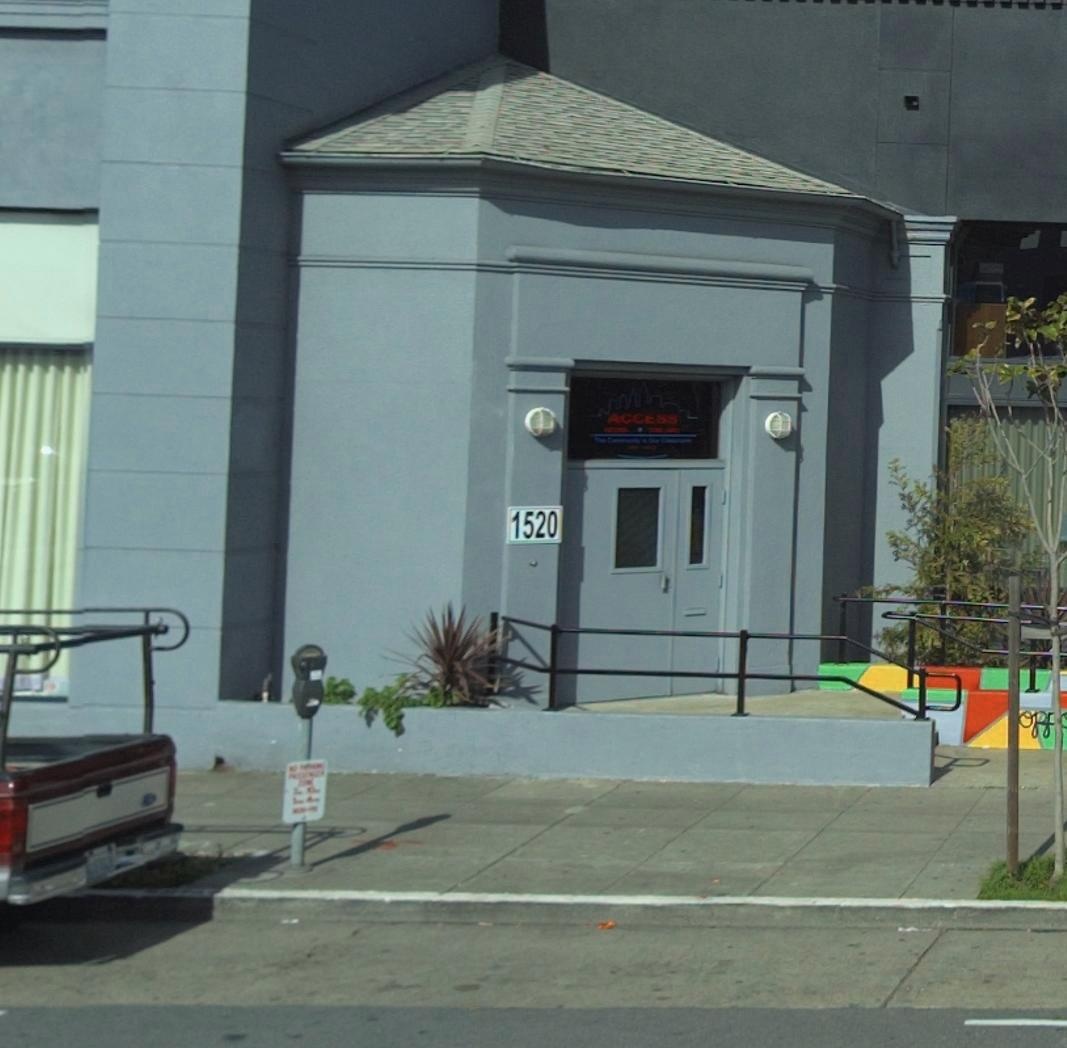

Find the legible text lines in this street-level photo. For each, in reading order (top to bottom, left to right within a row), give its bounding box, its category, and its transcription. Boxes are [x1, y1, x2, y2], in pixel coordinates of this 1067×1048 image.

[603, 409, 683, 428] BusinessName: ACCESS
[509, 507, 563, 541] StreetNumber: 1520
[1016, 707, 1052, 747] None: op